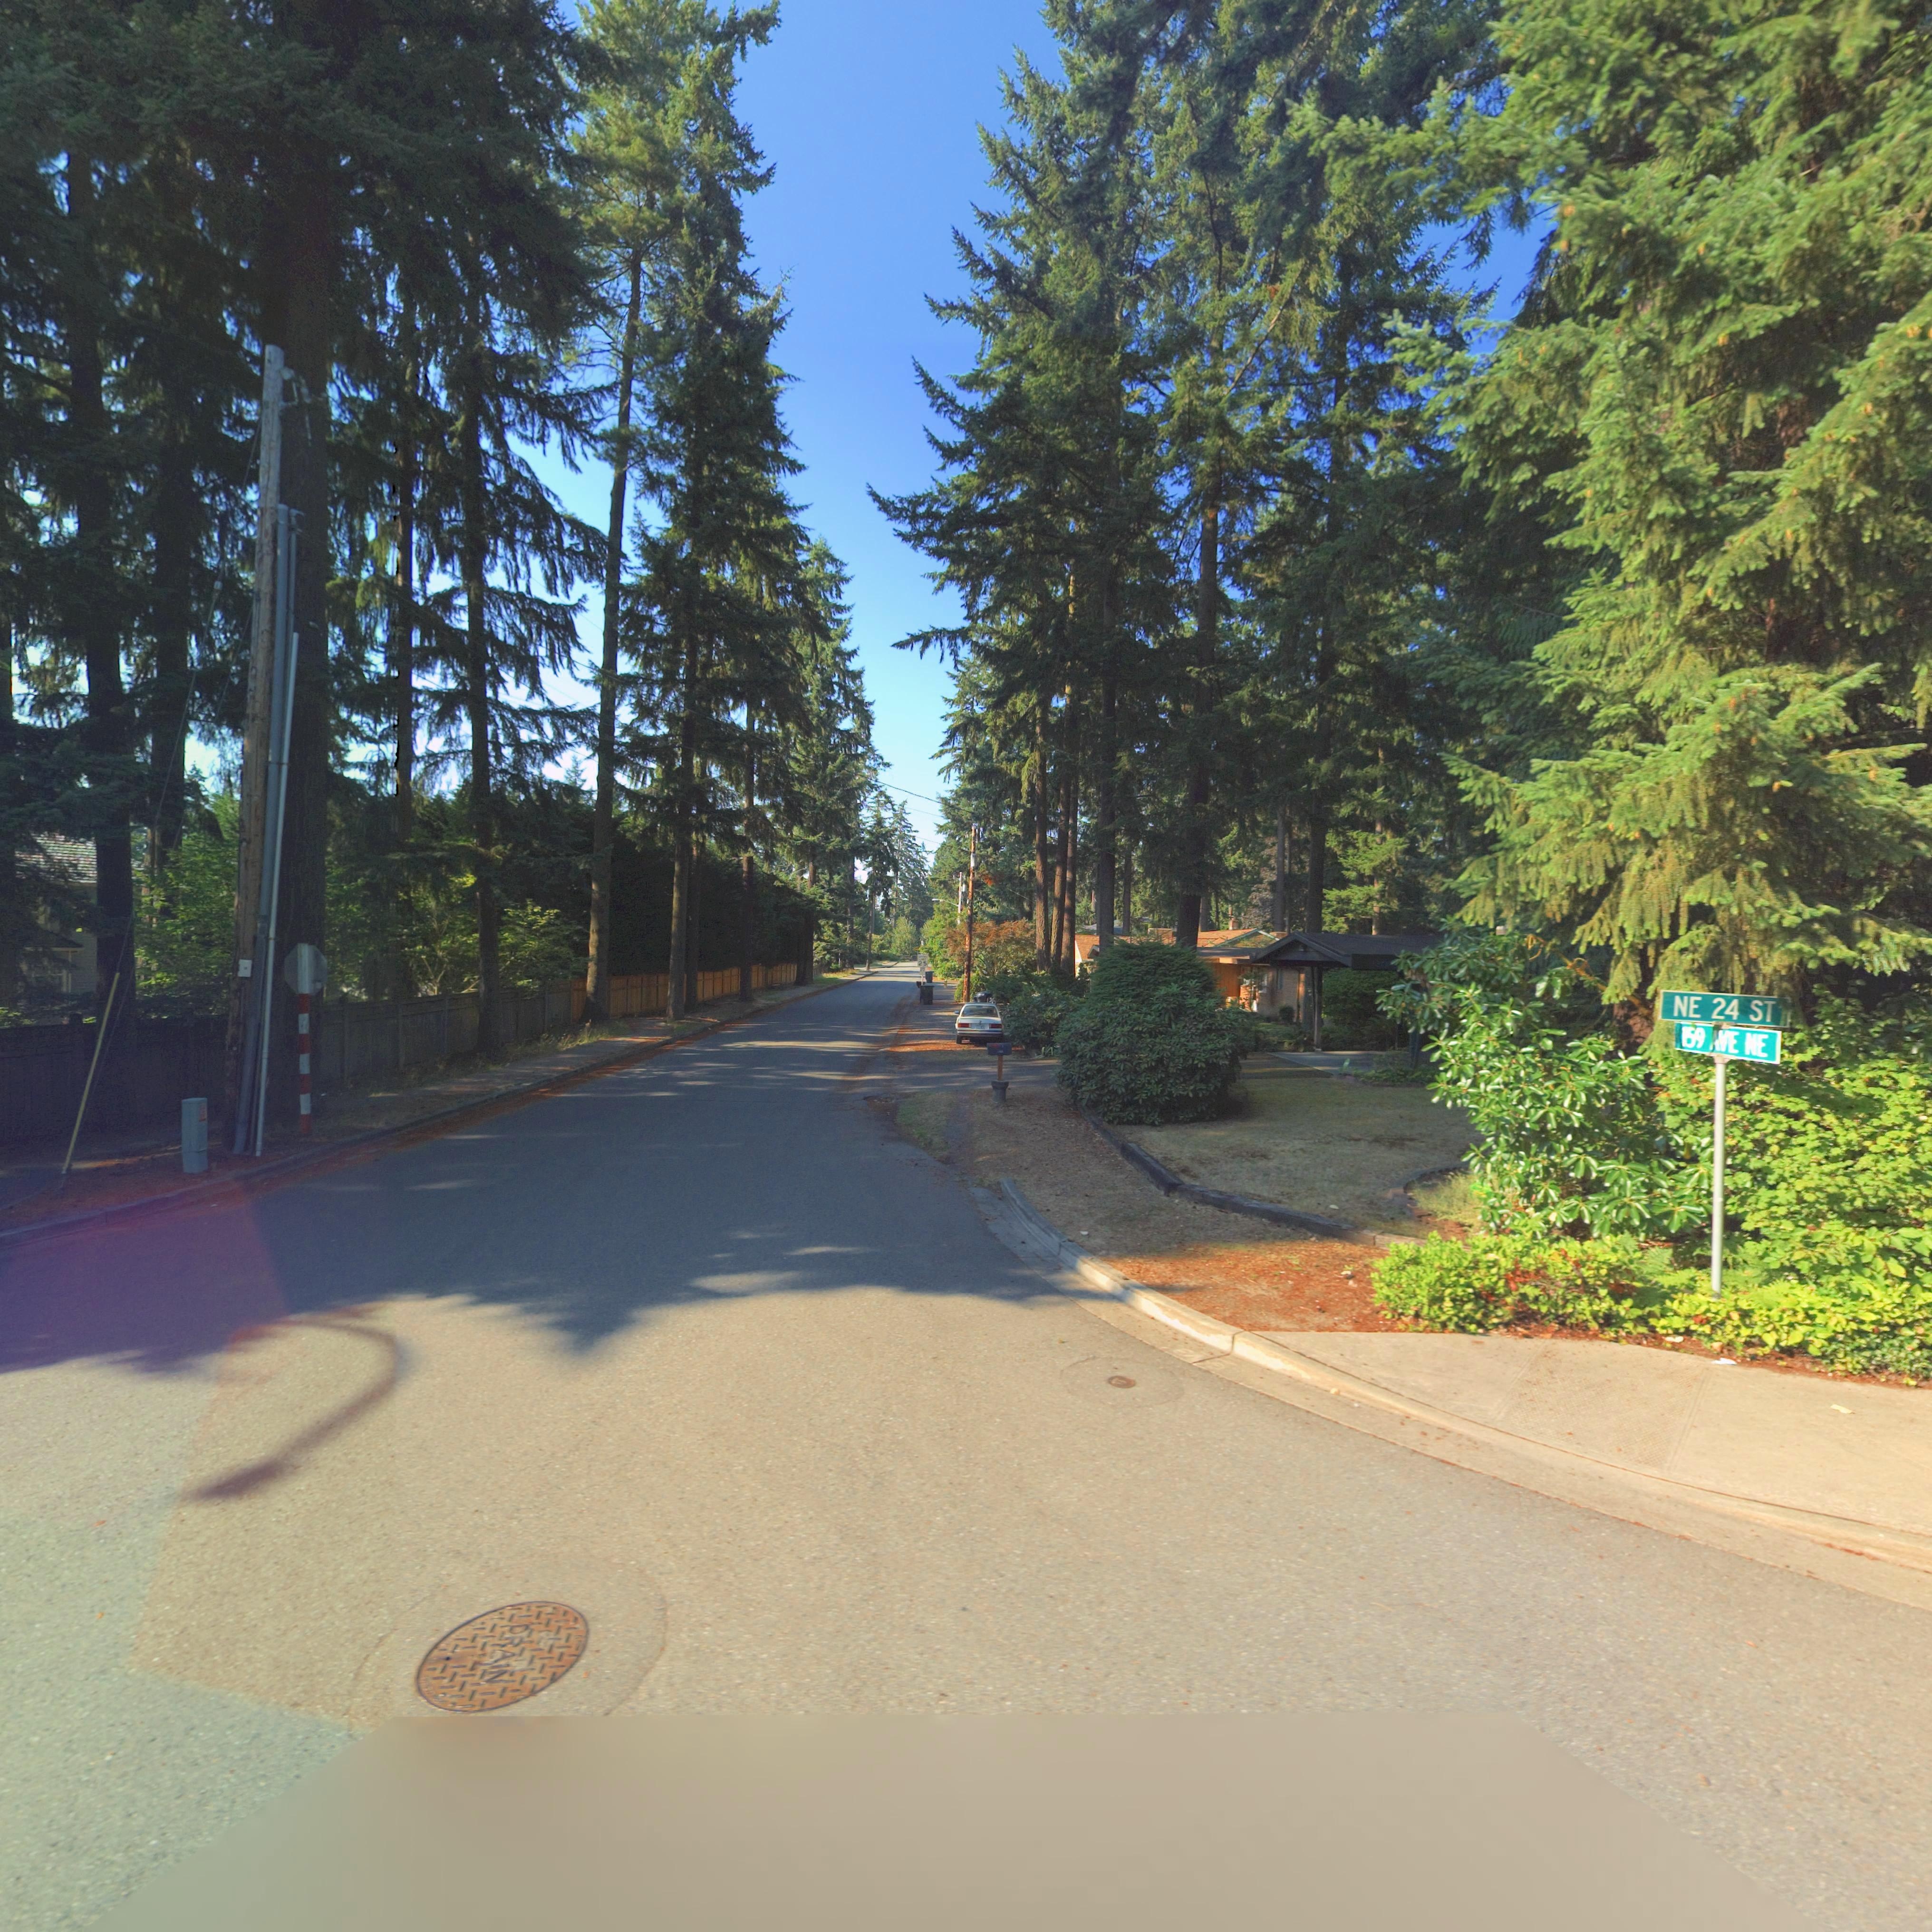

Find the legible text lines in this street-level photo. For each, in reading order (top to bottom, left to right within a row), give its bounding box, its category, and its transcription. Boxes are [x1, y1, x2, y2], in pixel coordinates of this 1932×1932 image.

[1673, 995, 1777, 1023] StreetName: NE 24 ST
[1679, 1025, 1769, 1060] StreetName: 159 AVE NE